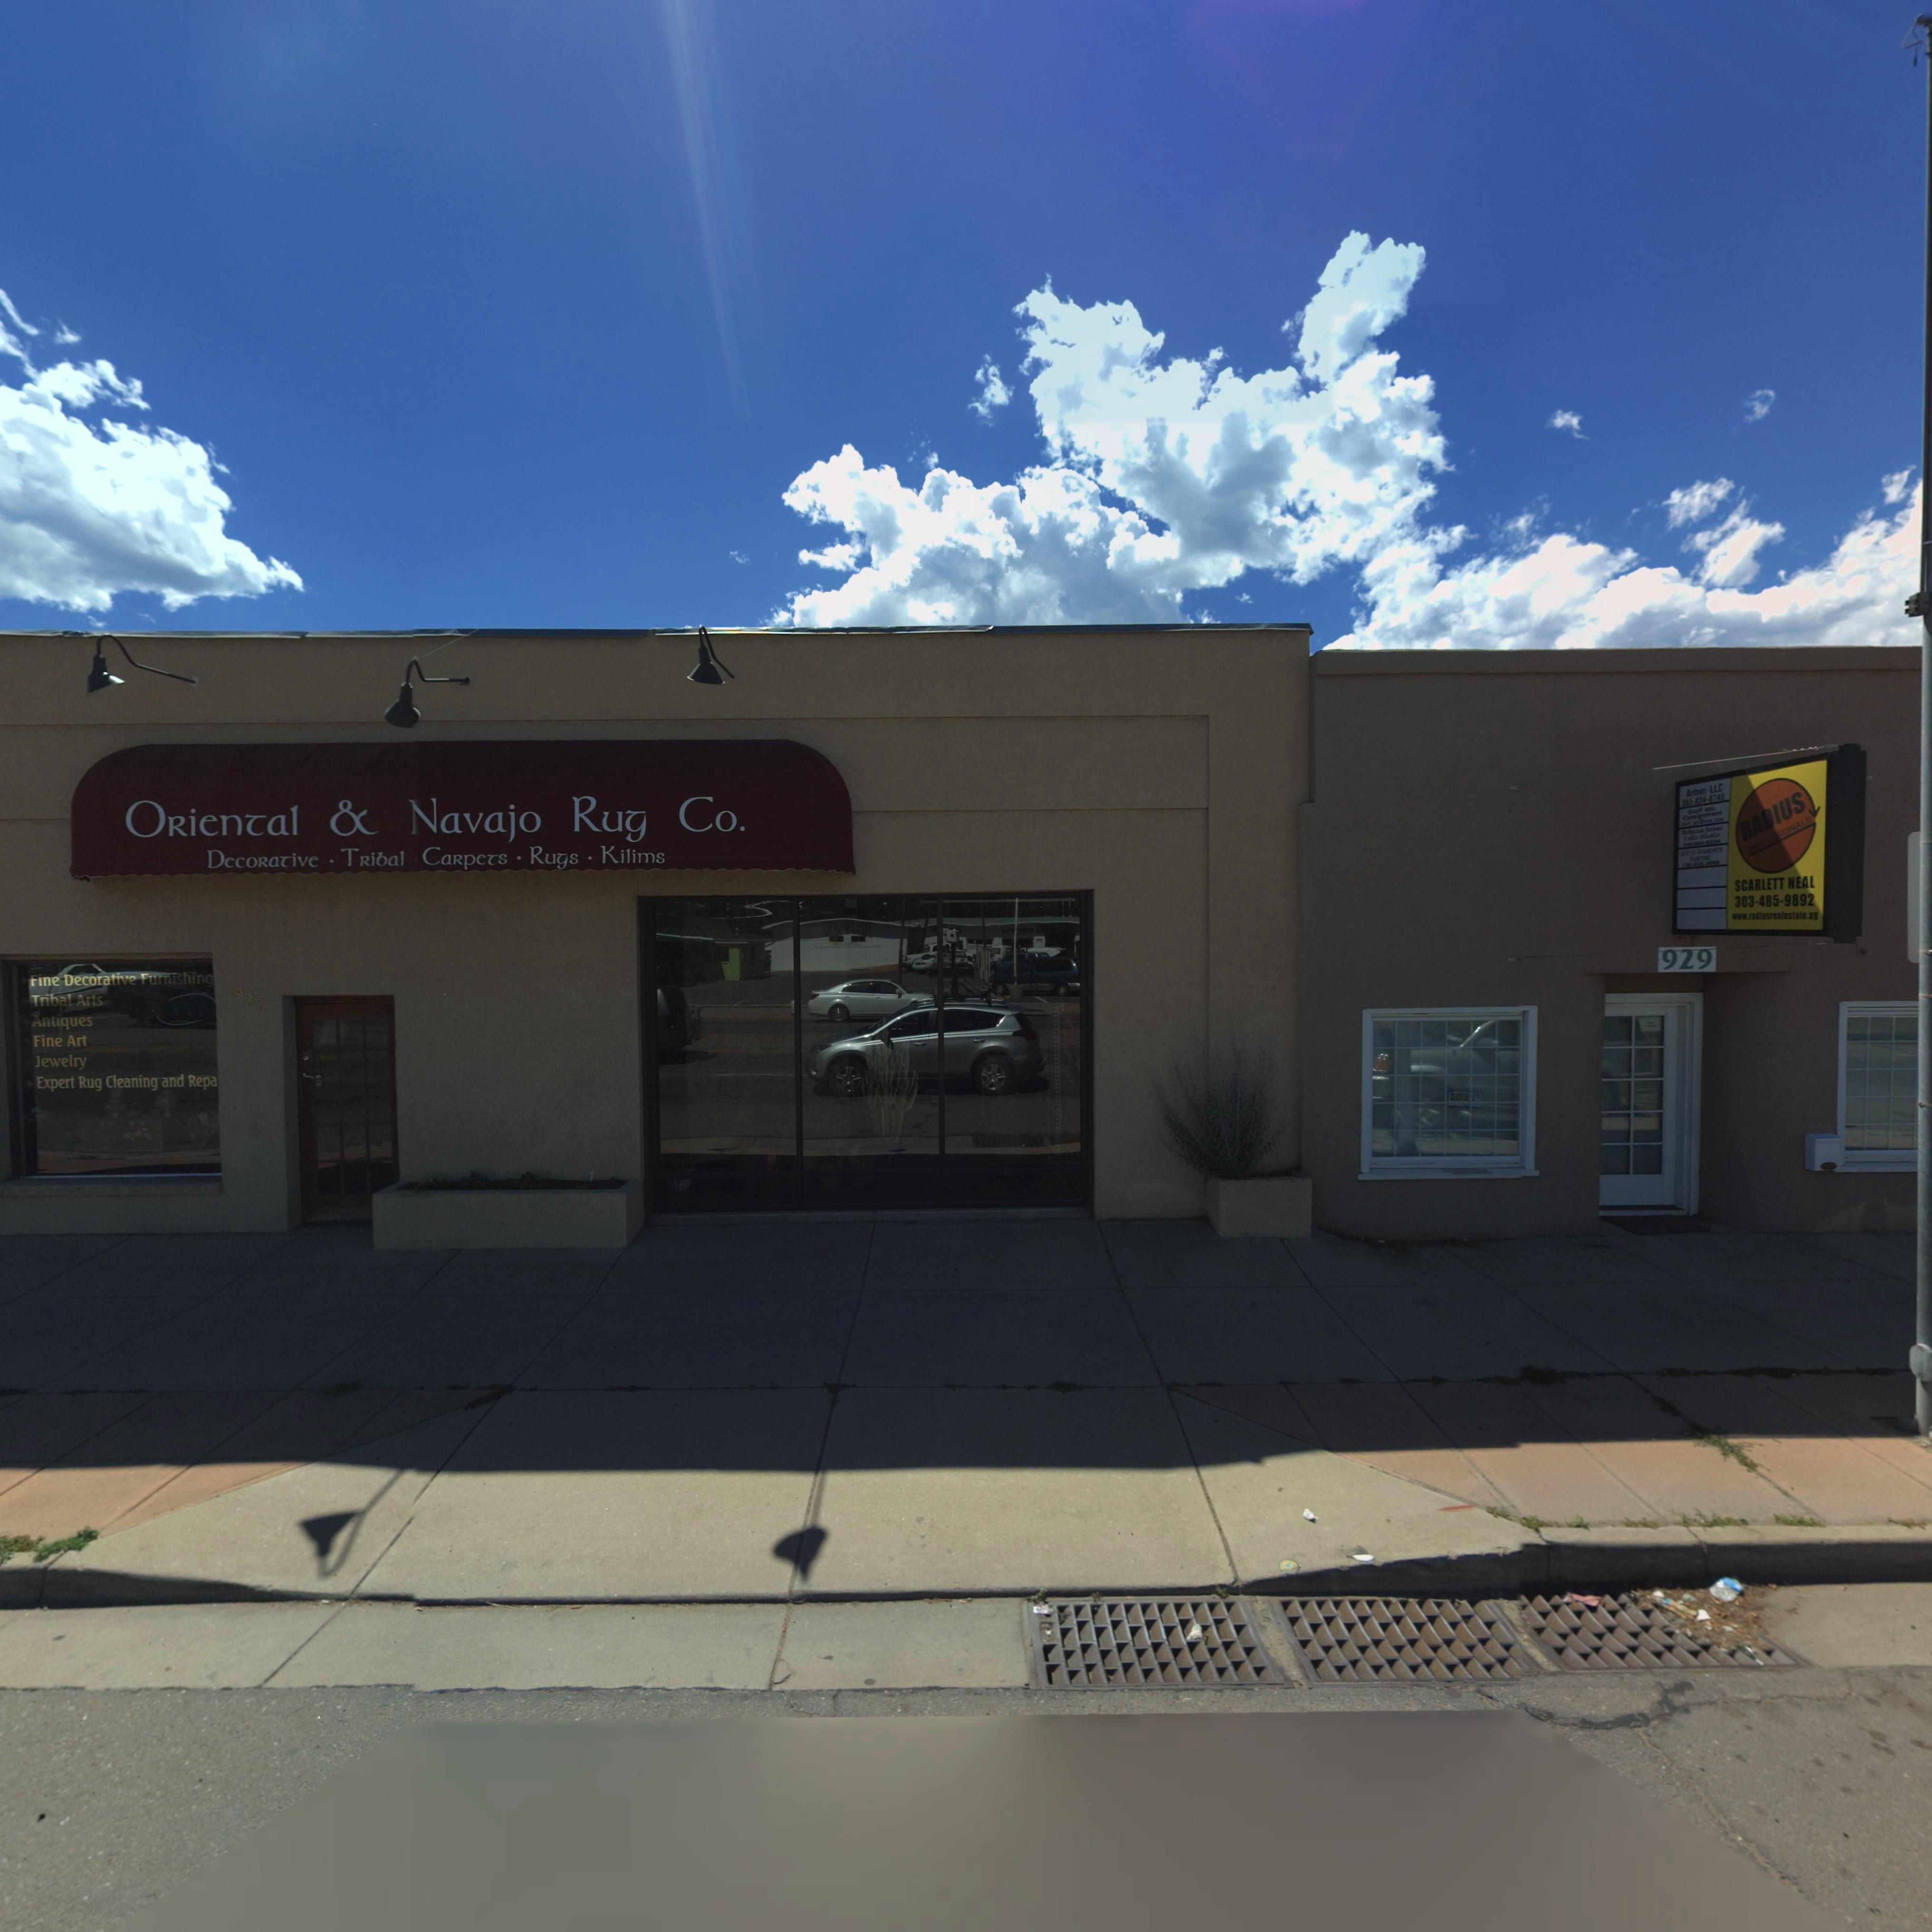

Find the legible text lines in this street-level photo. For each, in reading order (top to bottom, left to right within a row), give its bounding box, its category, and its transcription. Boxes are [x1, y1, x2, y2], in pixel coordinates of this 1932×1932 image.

[1685, 782, 1723, 798] BusinessName: Ar*** LLC
[123, 793, 747, 844] BusinessName: ORienTal & Navajo Rug Co.
[1688, 806, 1716, 814] BusinessName: Stuff etc
[1682, 810, 1722, 821] BusinessName: Con**gn***t
[1739, 791, 1805, 842] BusinessName: RADIUS
[1683, 831, 1720, 841] BusinessName: Cel**o Stu*io
[1681, 826, 1723, 835] BusinessName: R***cca Jo***
[1747, 815, 1812, 854] BusinessName: *****SS*ONALS
[1662, 949, 1712, 970] StreetNumber: 929
[234, 986, 264, 1011] StreetNumber: 927